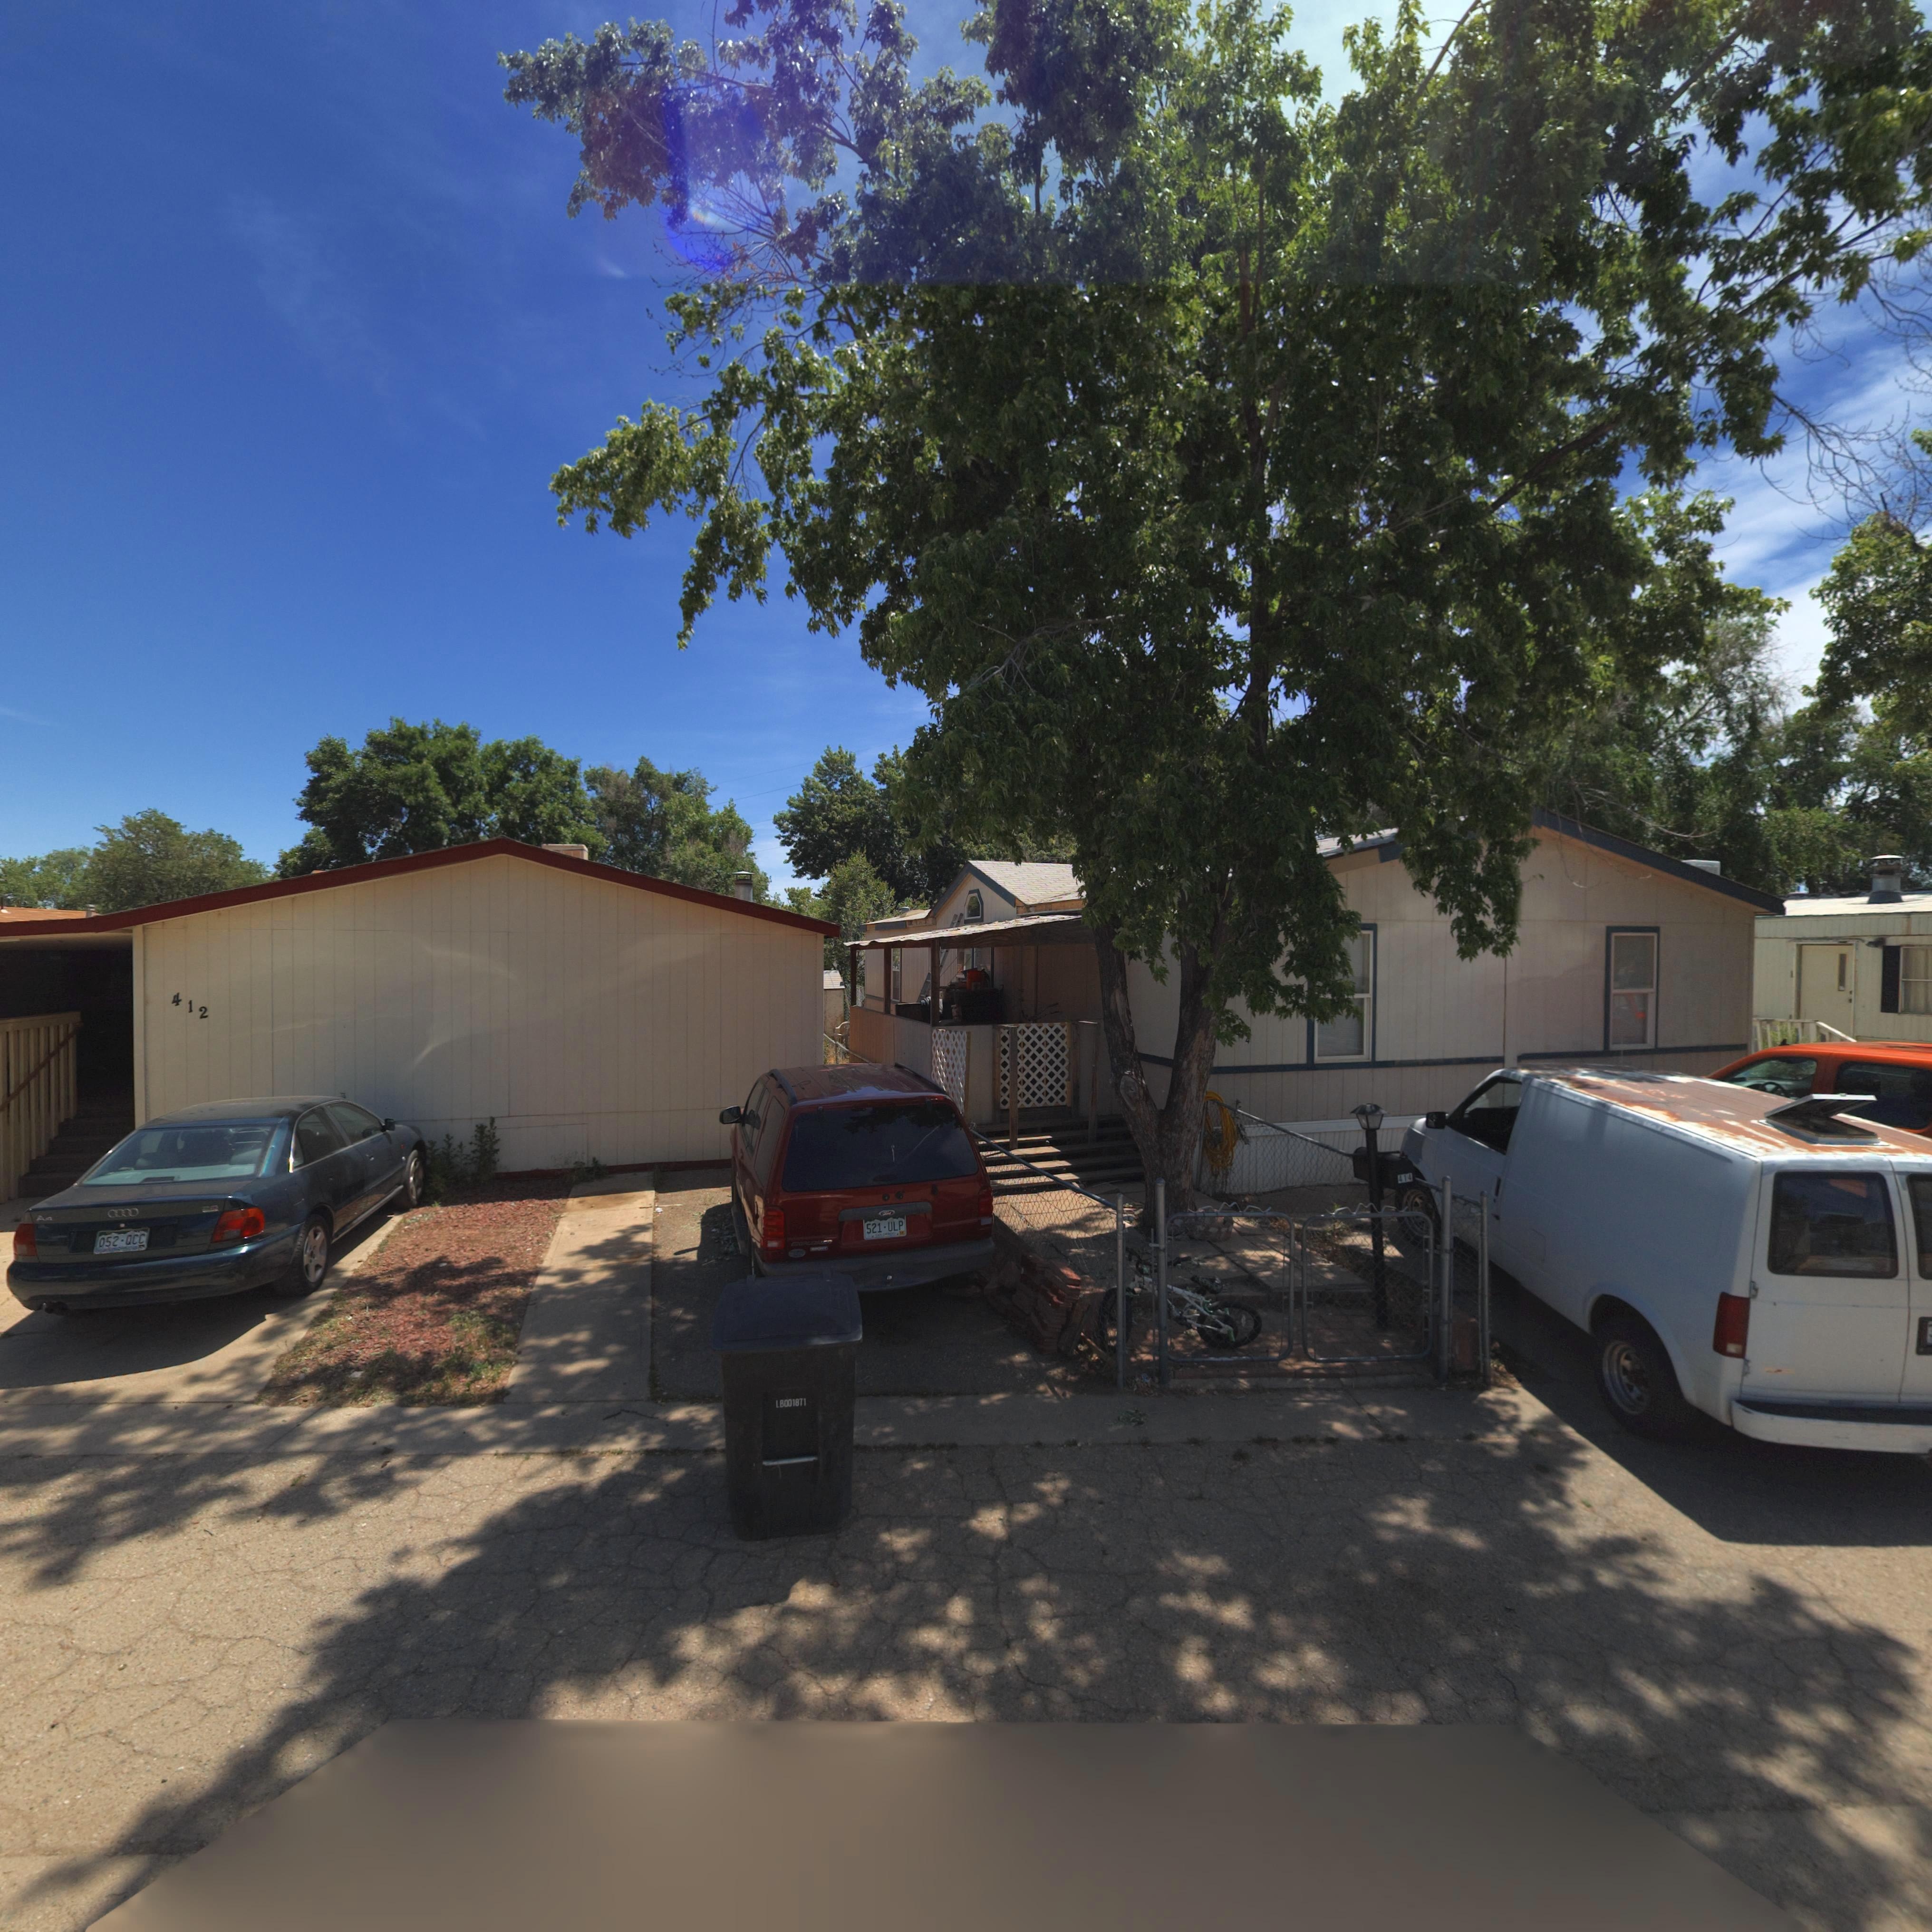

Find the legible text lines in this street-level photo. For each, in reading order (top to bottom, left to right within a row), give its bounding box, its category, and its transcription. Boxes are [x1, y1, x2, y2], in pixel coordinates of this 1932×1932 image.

[171, 992, 208, 1019] StreetNumber: 412
[1398, 1173, 1411, 1182] StreetNumber: 414